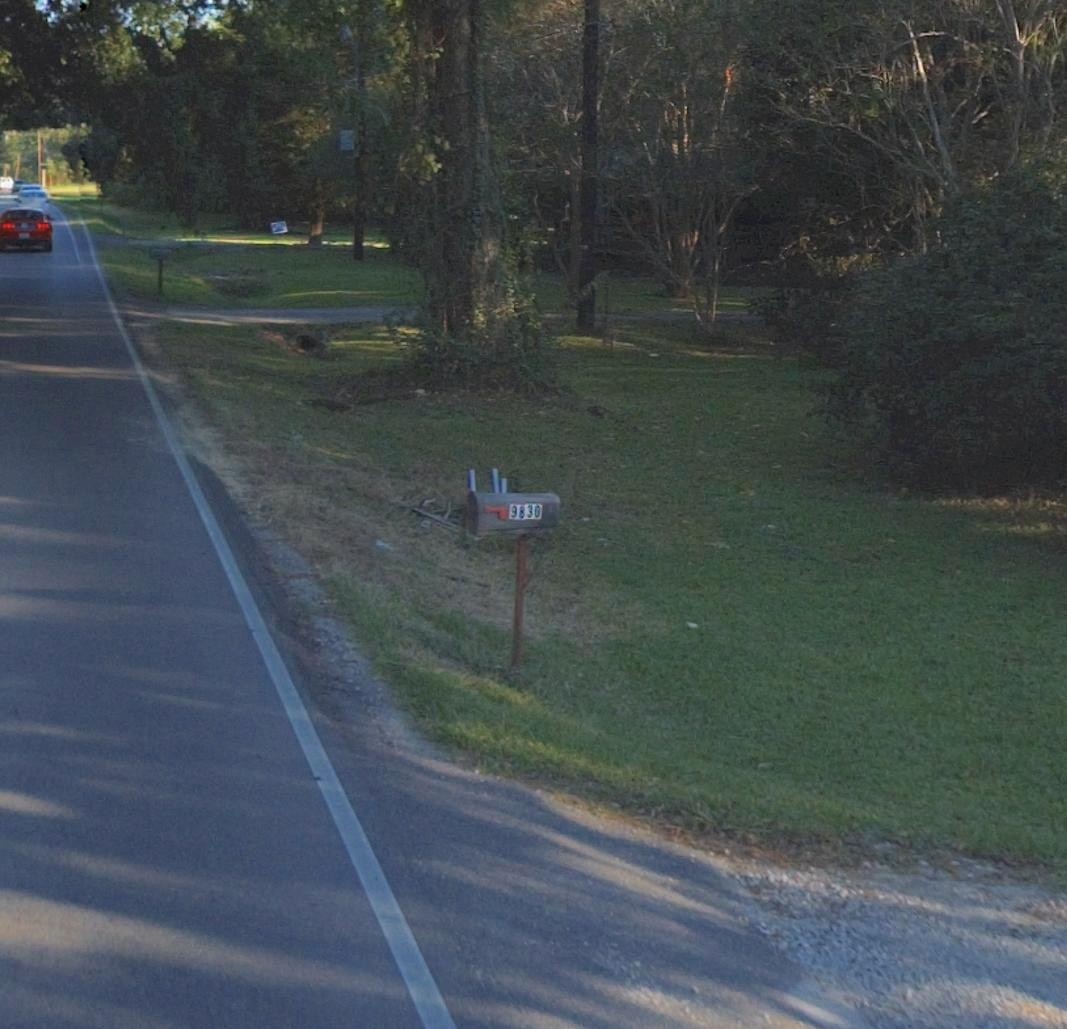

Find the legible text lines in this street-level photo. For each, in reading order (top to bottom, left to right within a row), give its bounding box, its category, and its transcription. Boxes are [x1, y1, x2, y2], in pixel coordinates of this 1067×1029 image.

[510, 505, 542, 518] StreetNumber: 9830